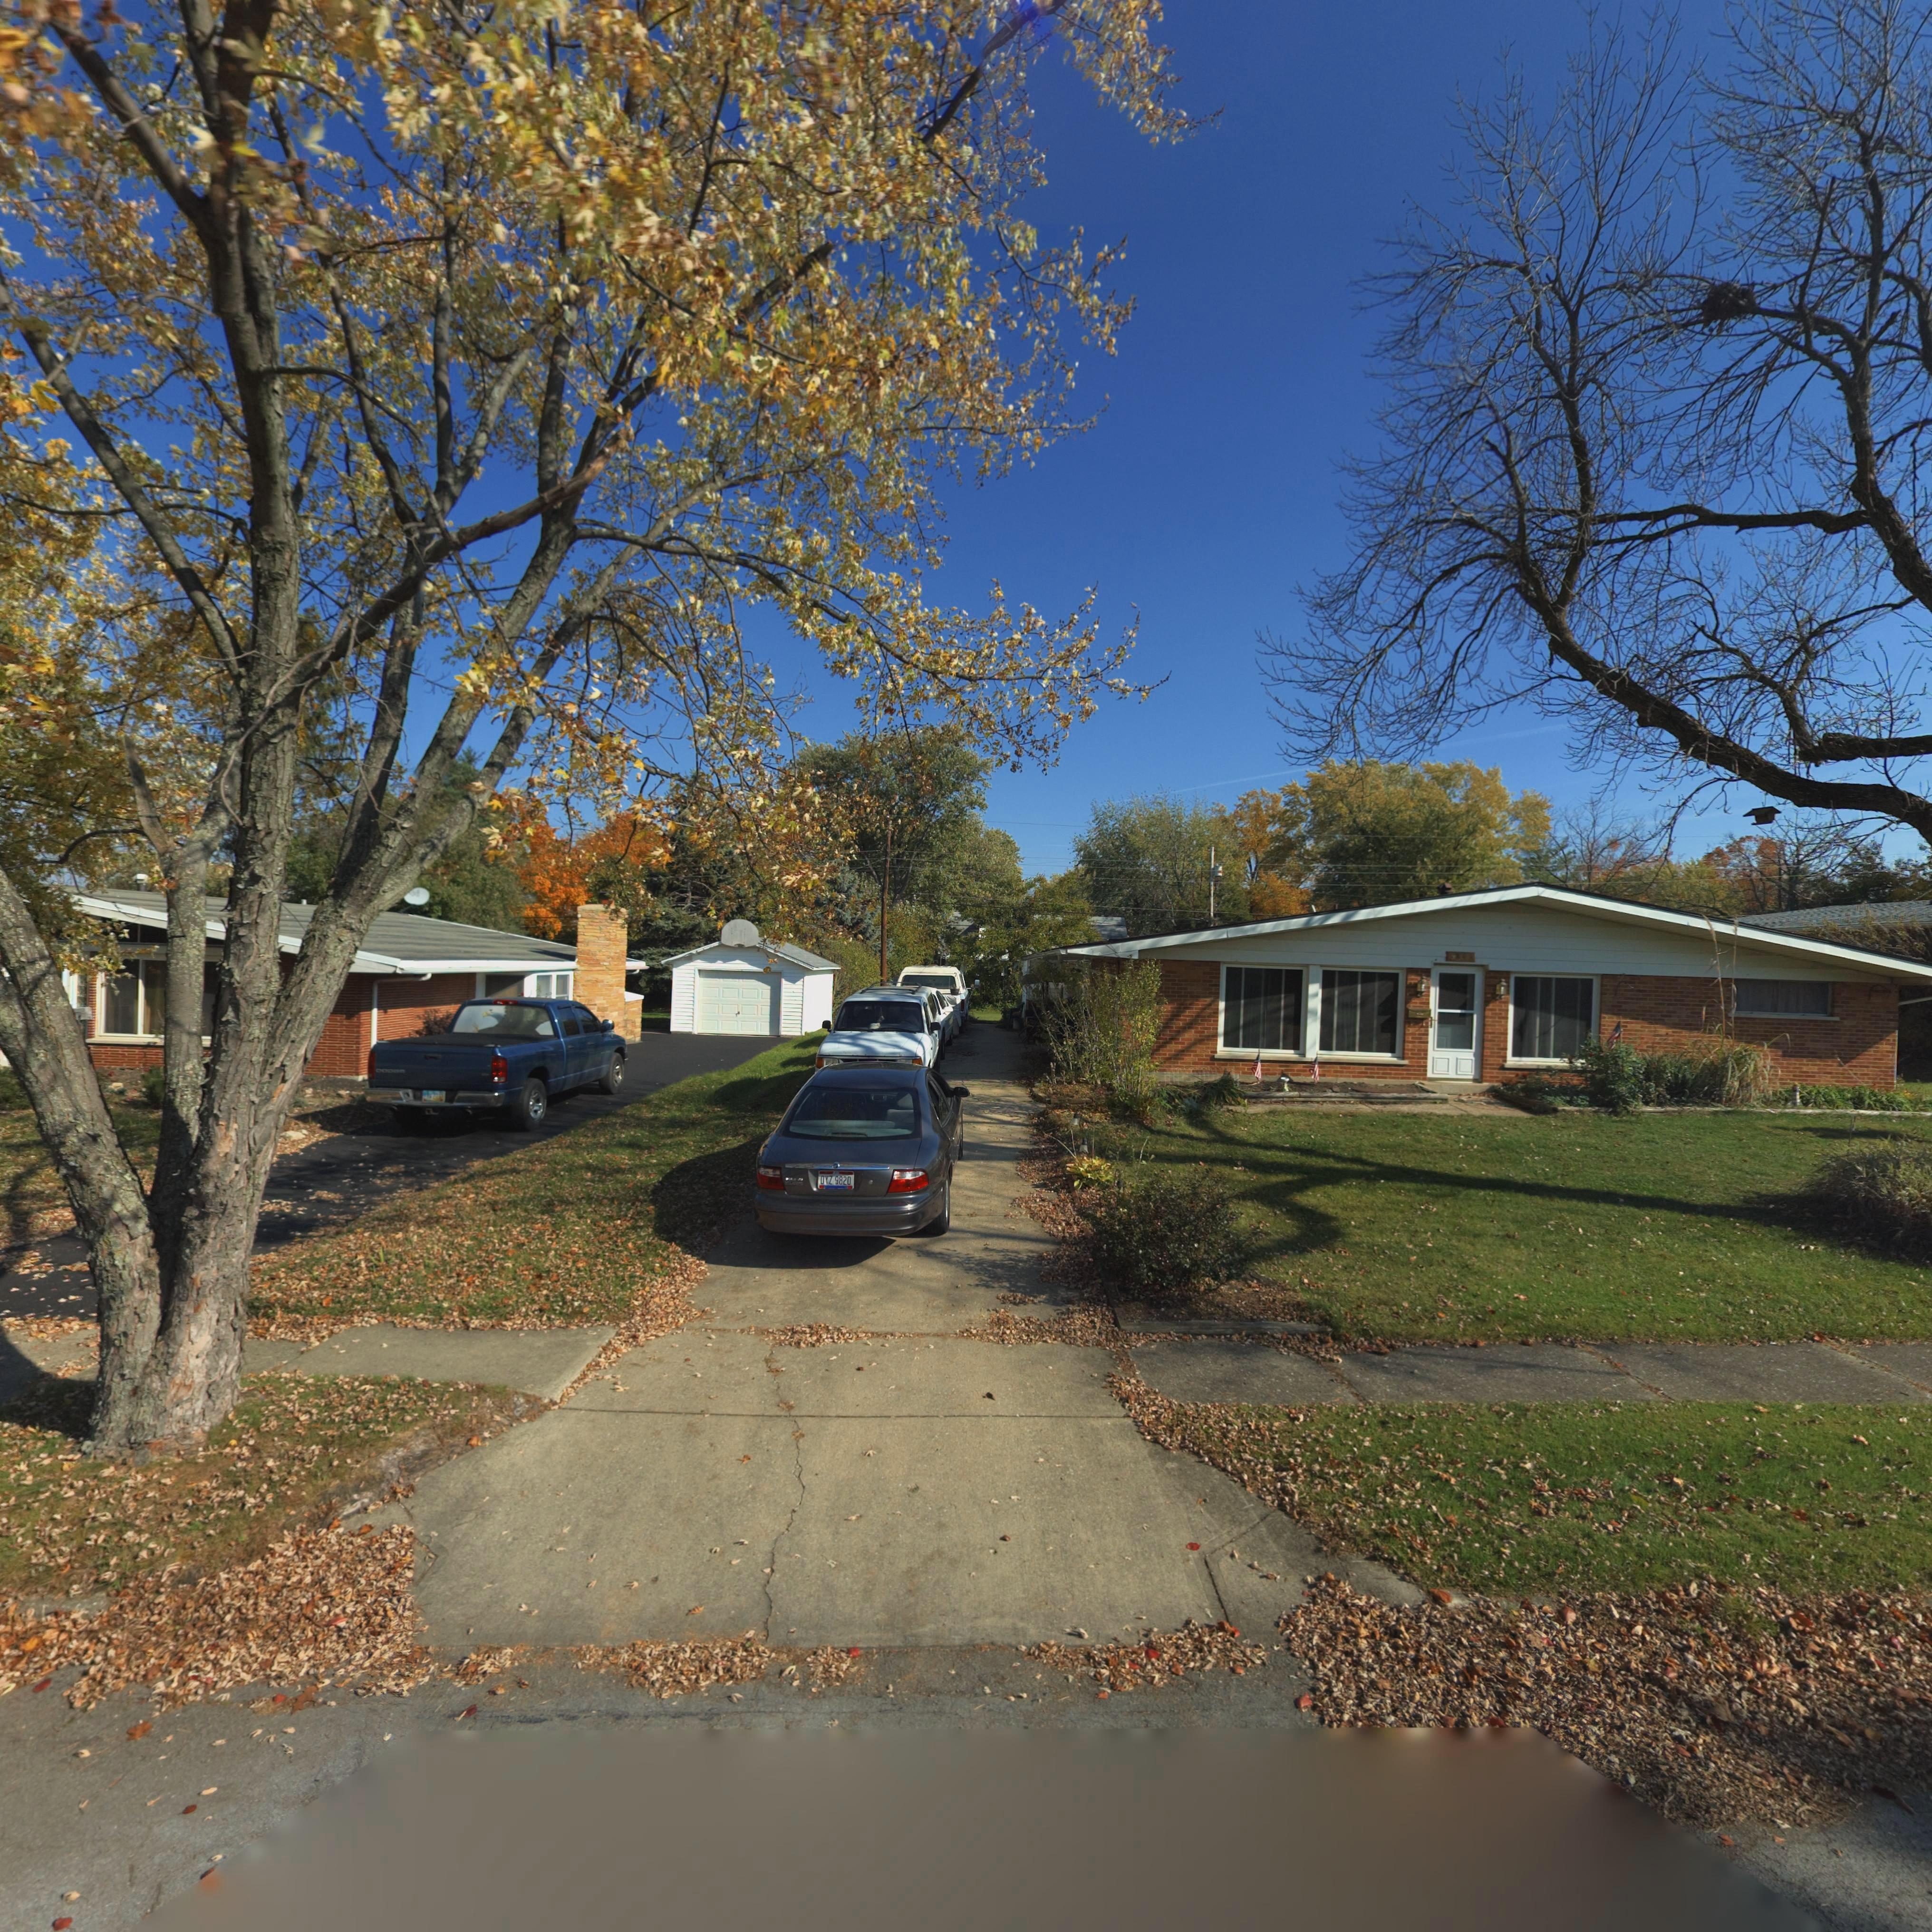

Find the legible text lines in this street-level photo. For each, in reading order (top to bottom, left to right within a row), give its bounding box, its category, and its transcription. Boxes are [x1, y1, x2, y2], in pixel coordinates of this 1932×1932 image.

[1448, 953, 1473, 961] StreetNumber: 3844
[375, 1068, 406, 1073] None: DOD**
[820, 1175, 851, 1186] None: OYZ*9820